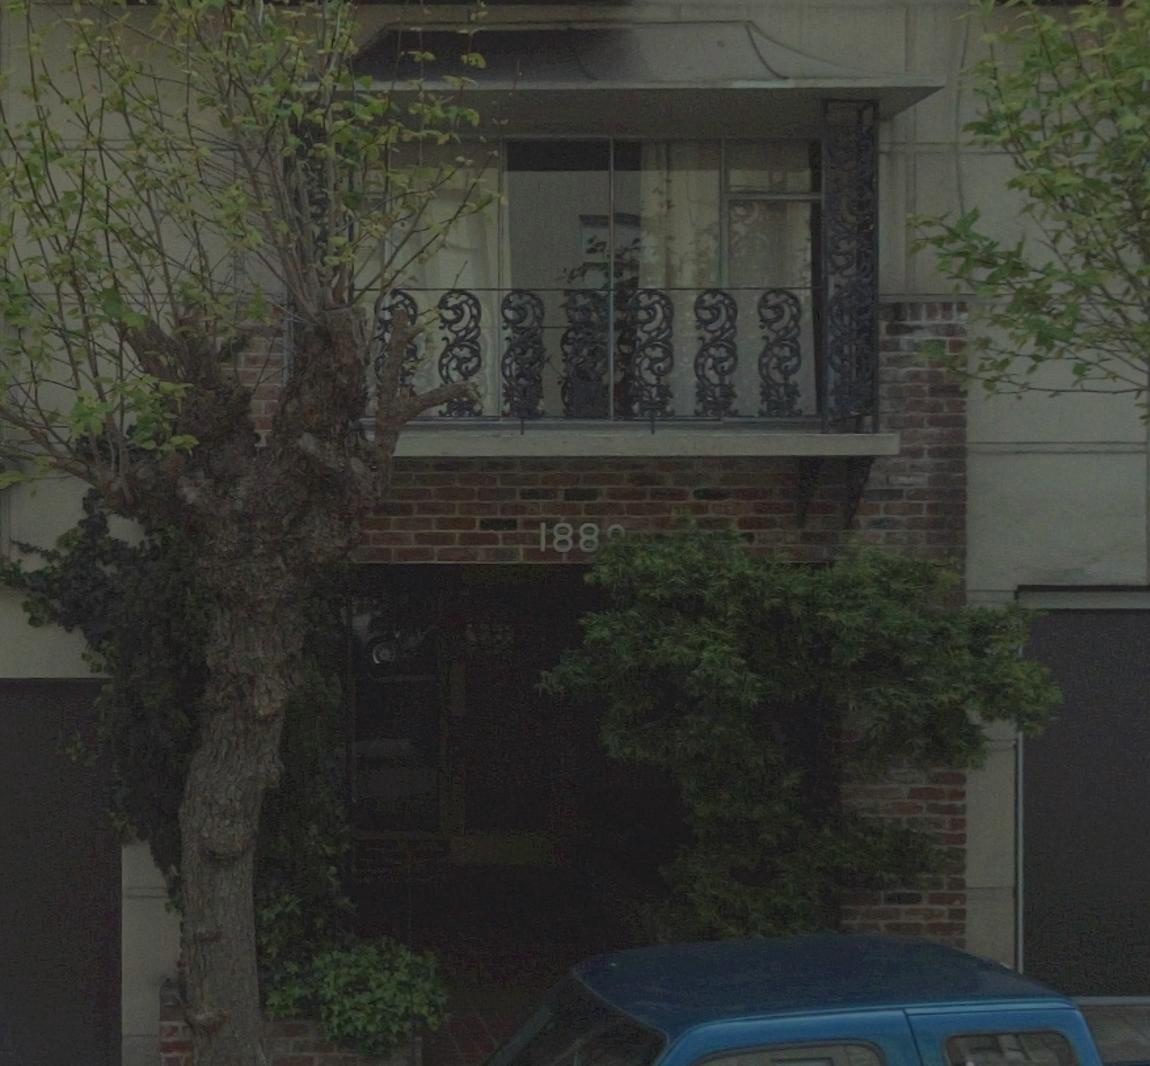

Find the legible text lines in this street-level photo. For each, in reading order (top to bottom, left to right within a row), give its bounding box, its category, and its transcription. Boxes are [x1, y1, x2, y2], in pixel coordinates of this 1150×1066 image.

[537, 519, 631, 556] StreetNumber: 188*